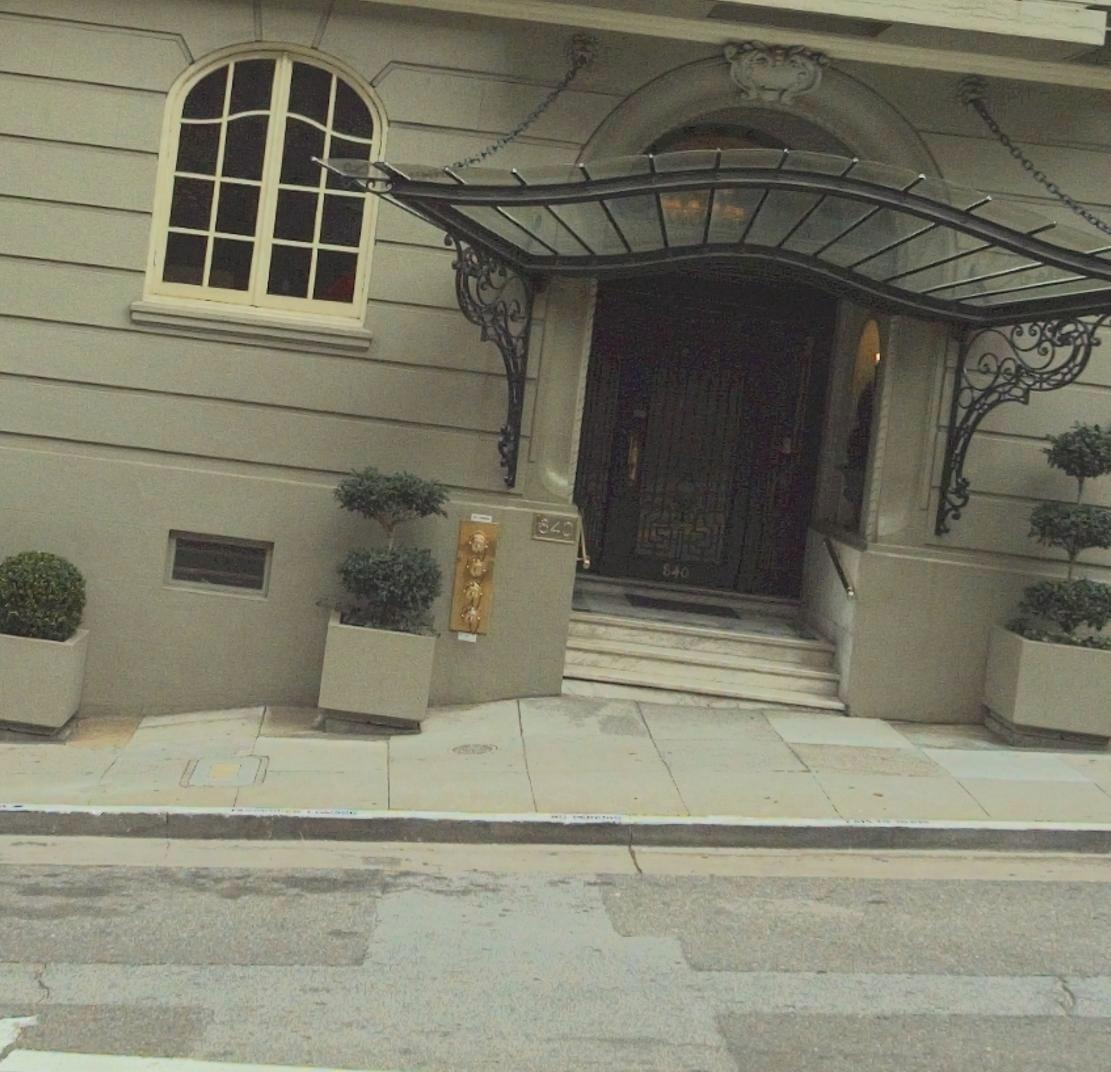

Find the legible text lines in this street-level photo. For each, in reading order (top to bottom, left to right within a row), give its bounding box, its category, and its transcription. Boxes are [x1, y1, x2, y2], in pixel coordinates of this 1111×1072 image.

[536, 516, 576, 539] StreetNumber: 840
[661, 562, 691, 580] StreetNumber: 840